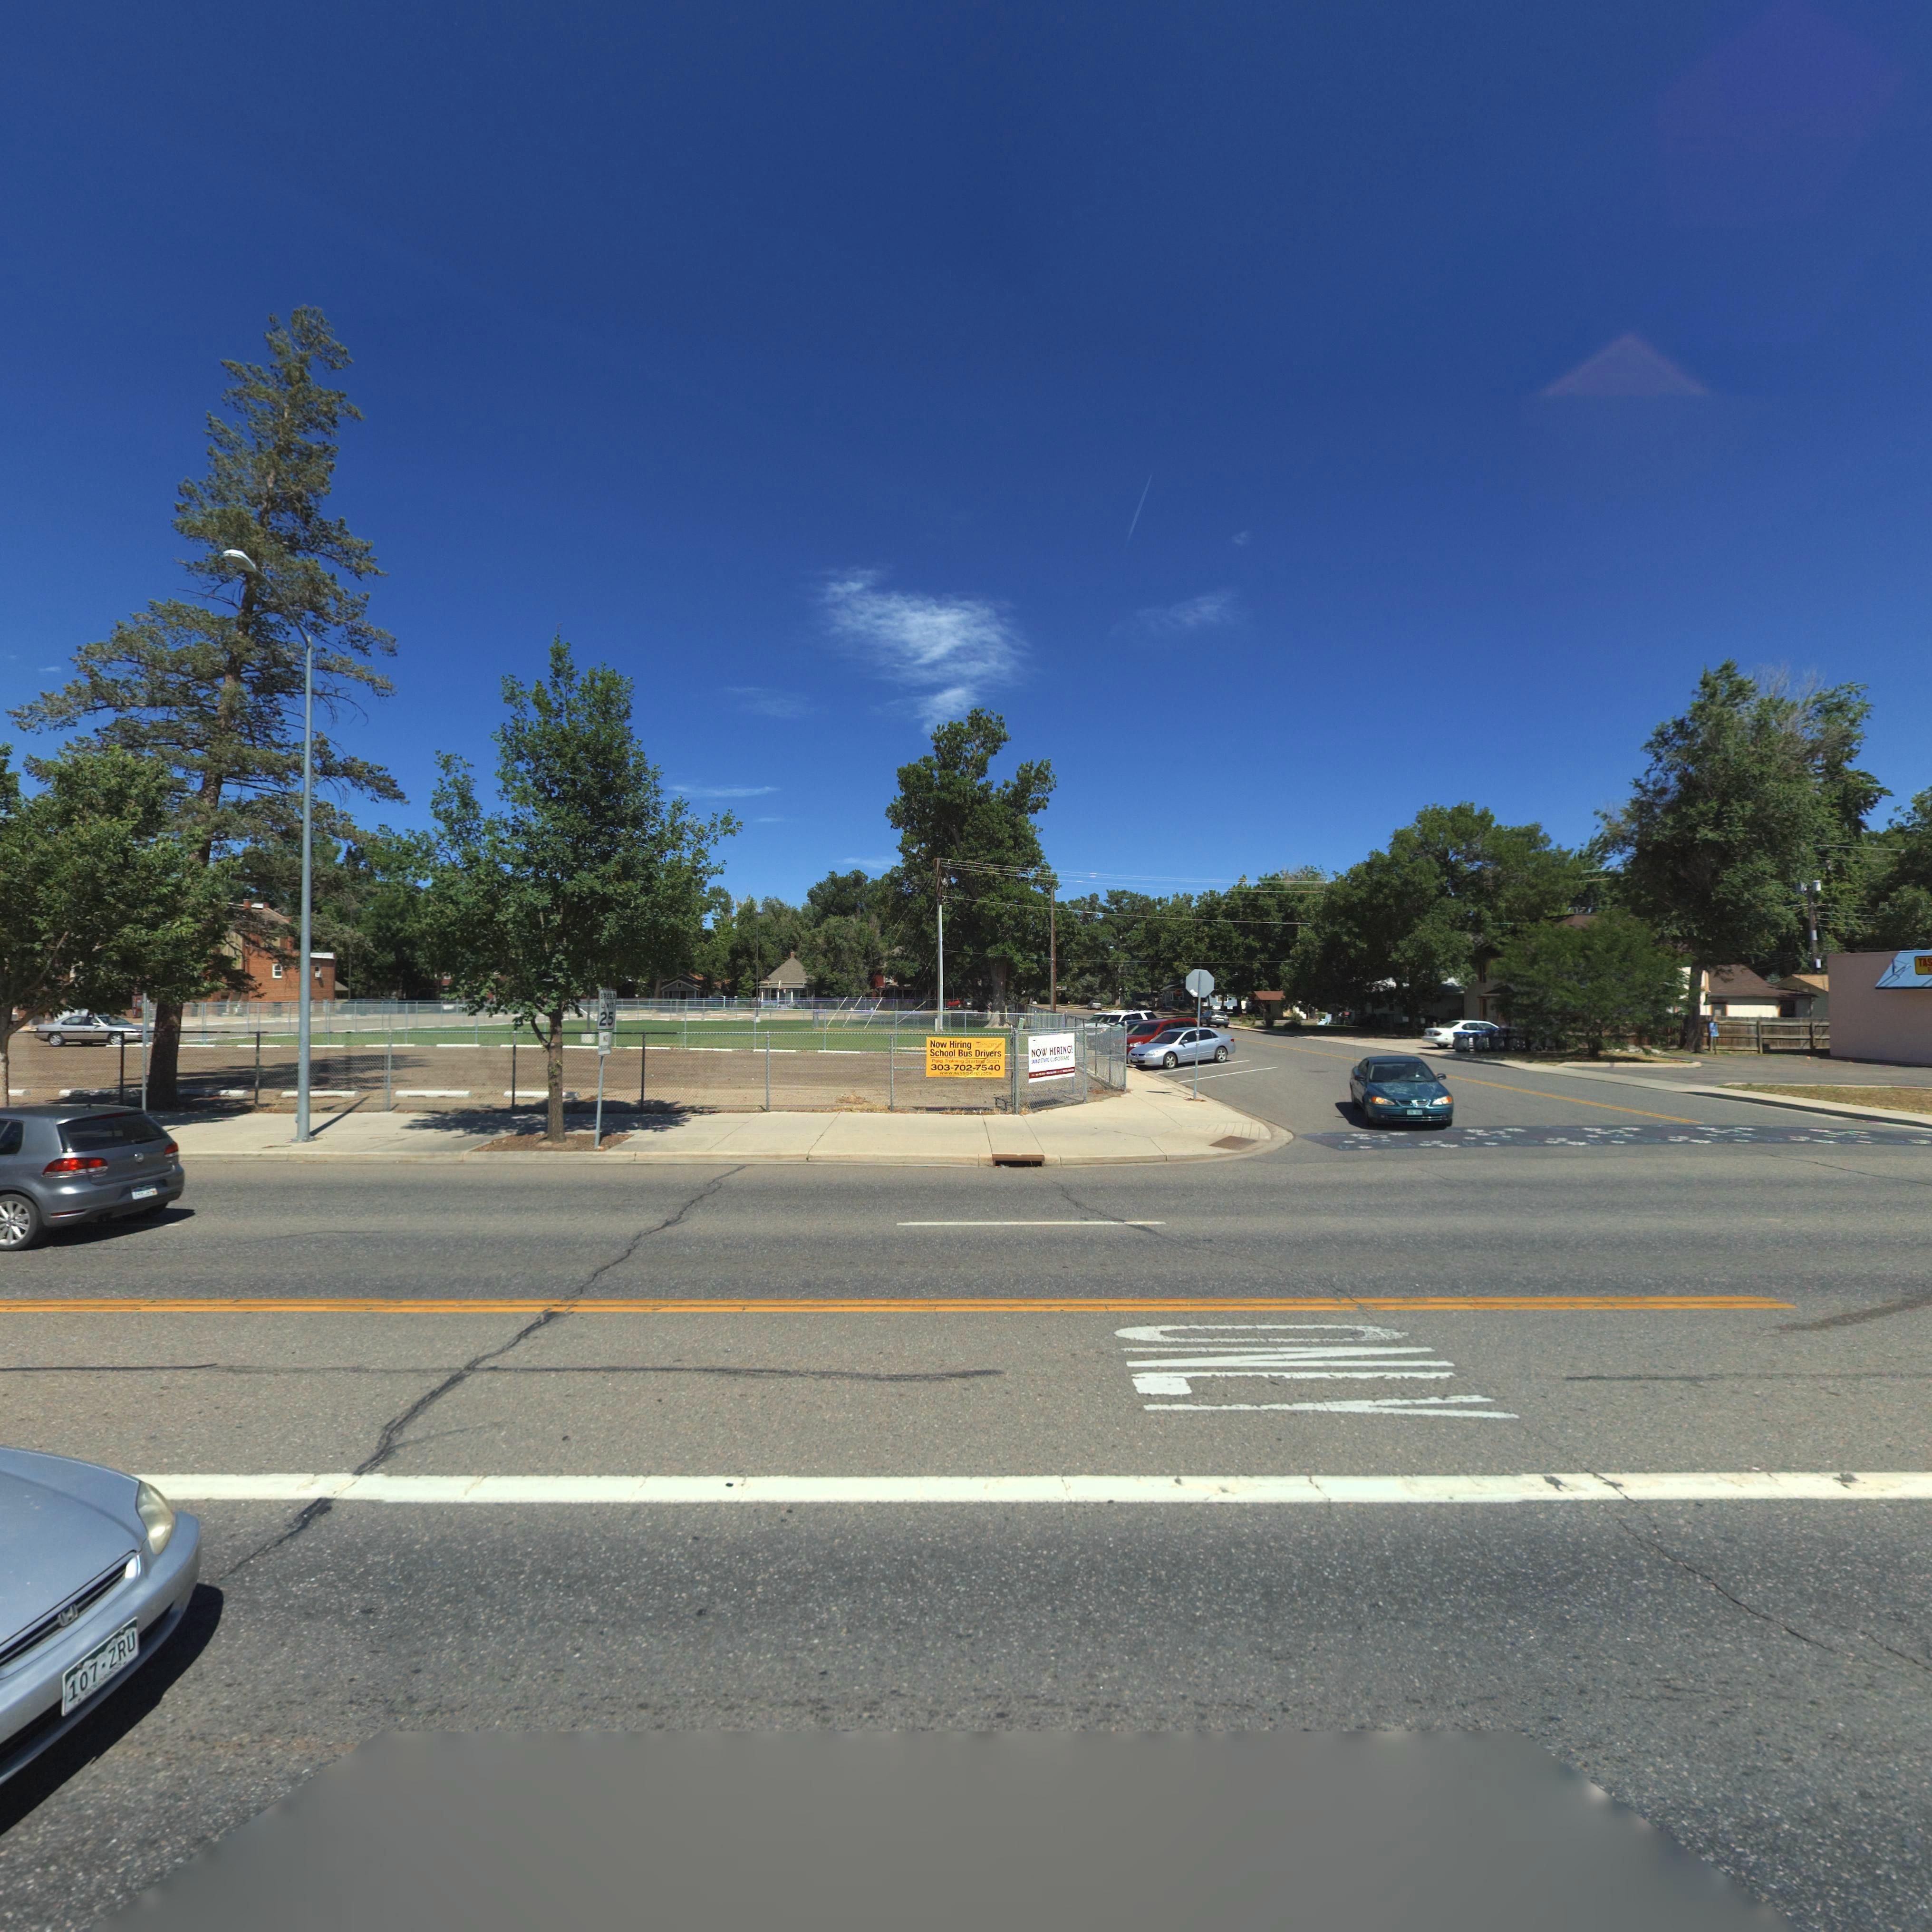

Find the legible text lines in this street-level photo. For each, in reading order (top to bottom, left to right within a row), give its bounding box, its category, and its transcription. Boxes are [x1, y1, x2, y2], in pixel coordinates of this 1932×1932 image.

[1917, 957, 1928, 967] BusinessName: TA